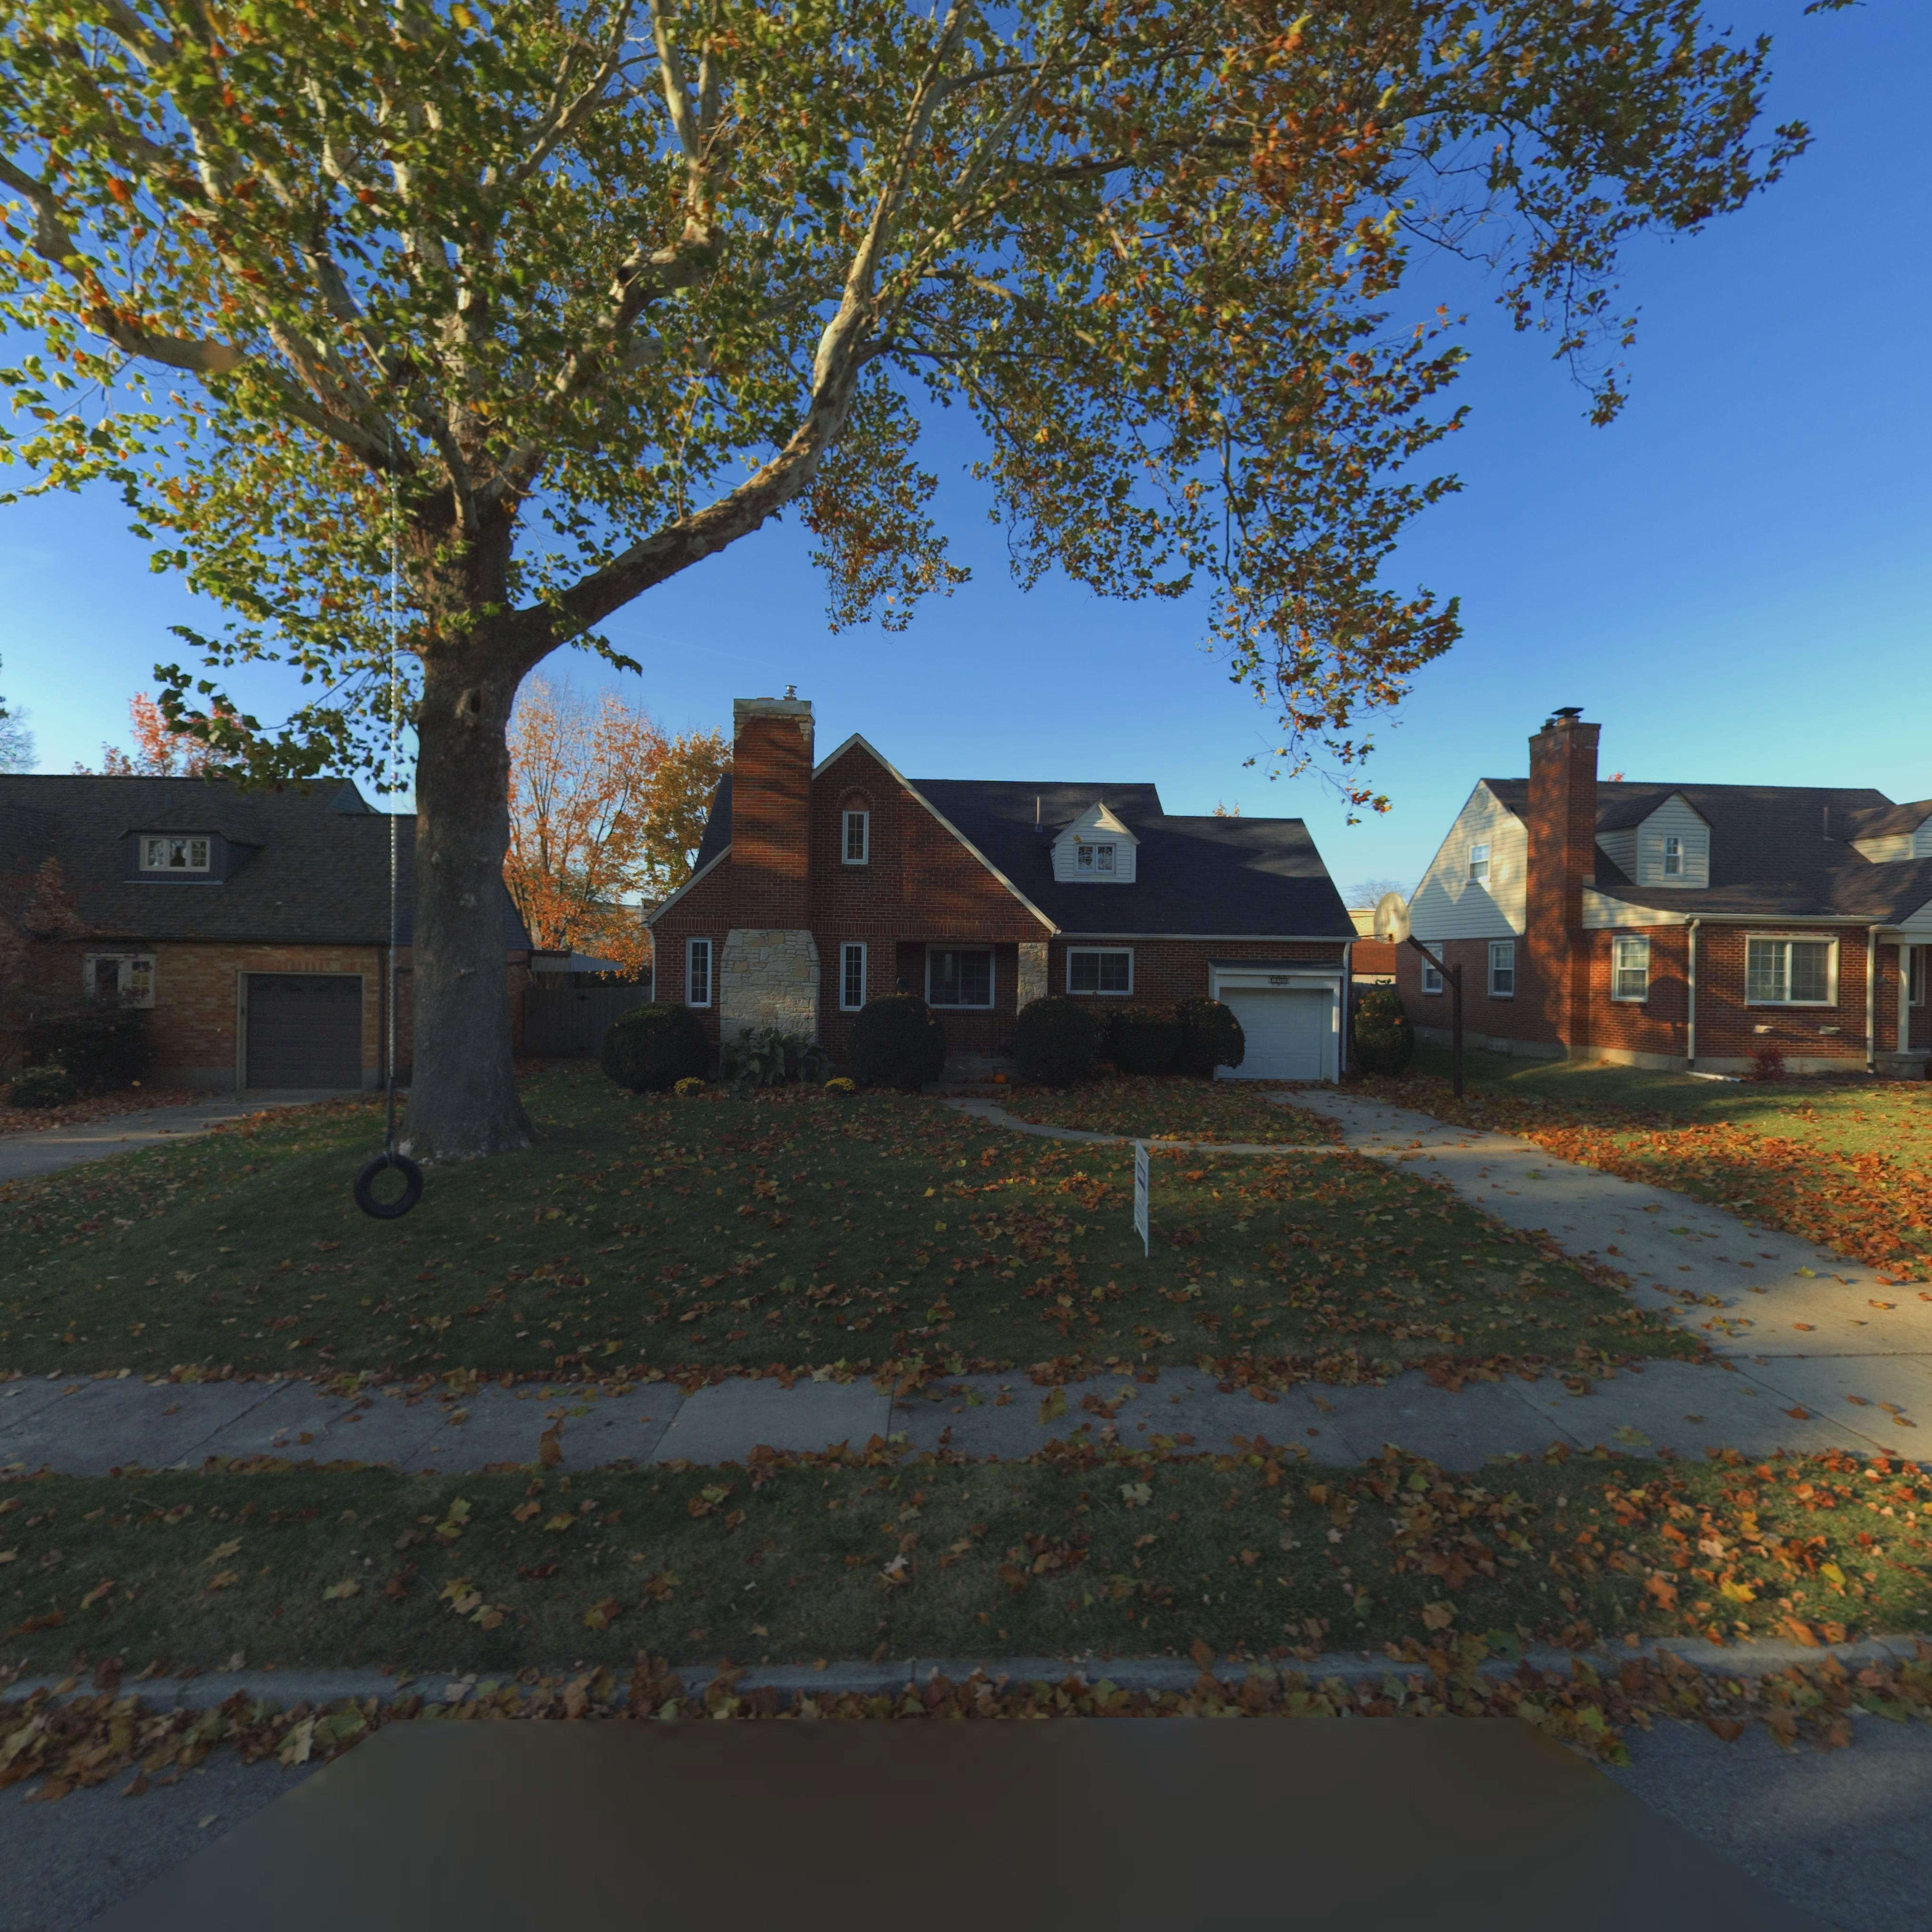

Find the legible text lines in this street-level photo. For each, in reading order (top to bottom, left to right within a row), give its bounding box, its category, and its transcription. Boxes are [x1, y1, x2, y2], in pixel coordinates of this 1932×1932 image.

[1273, 978, 1286, 983] StreetNumber: 13*